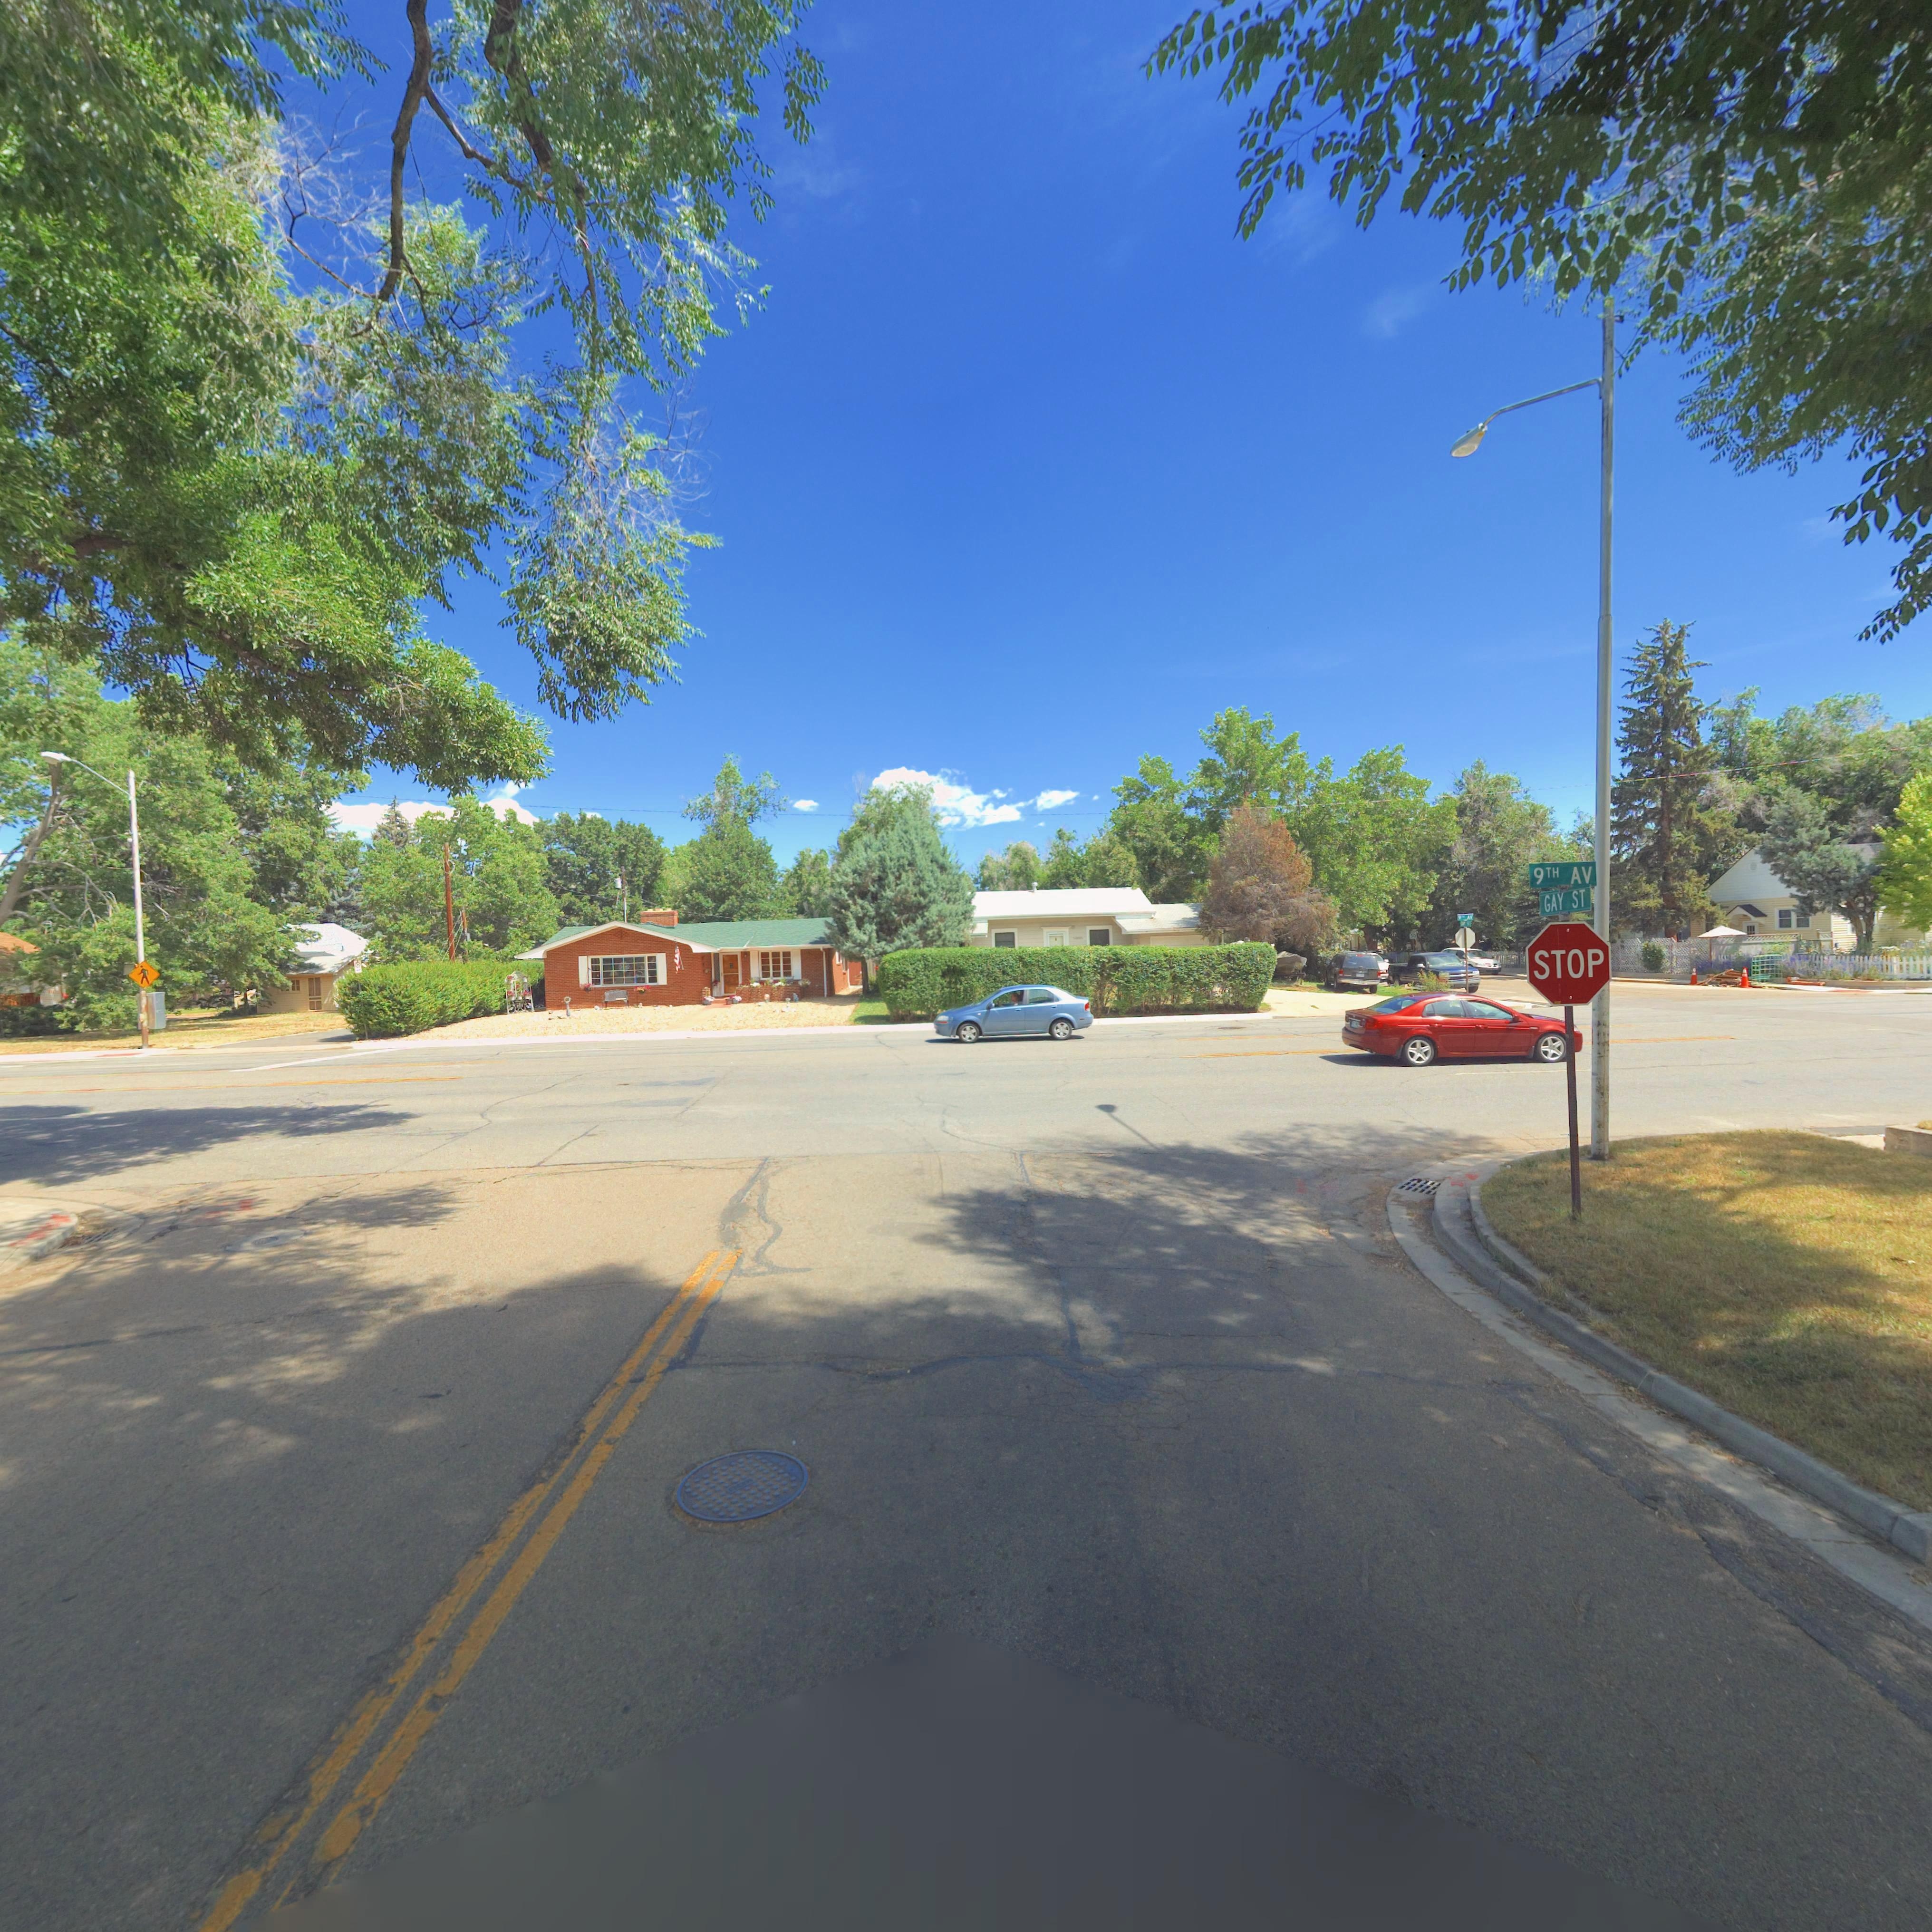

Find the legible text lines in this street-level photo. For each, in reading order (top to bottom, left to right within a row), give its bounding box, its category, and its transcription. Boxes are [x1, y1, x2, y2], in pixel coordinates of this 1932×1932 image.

[1532, 865, 1594, 885] StreetName: 9TH AV
[1543, 889, 1587, 913] StreetName: GAY ST
[1459, 921, 1470, 926] StreetName: GA* ST
[1457, 915, 1474, 919] StreetName: 9** AV